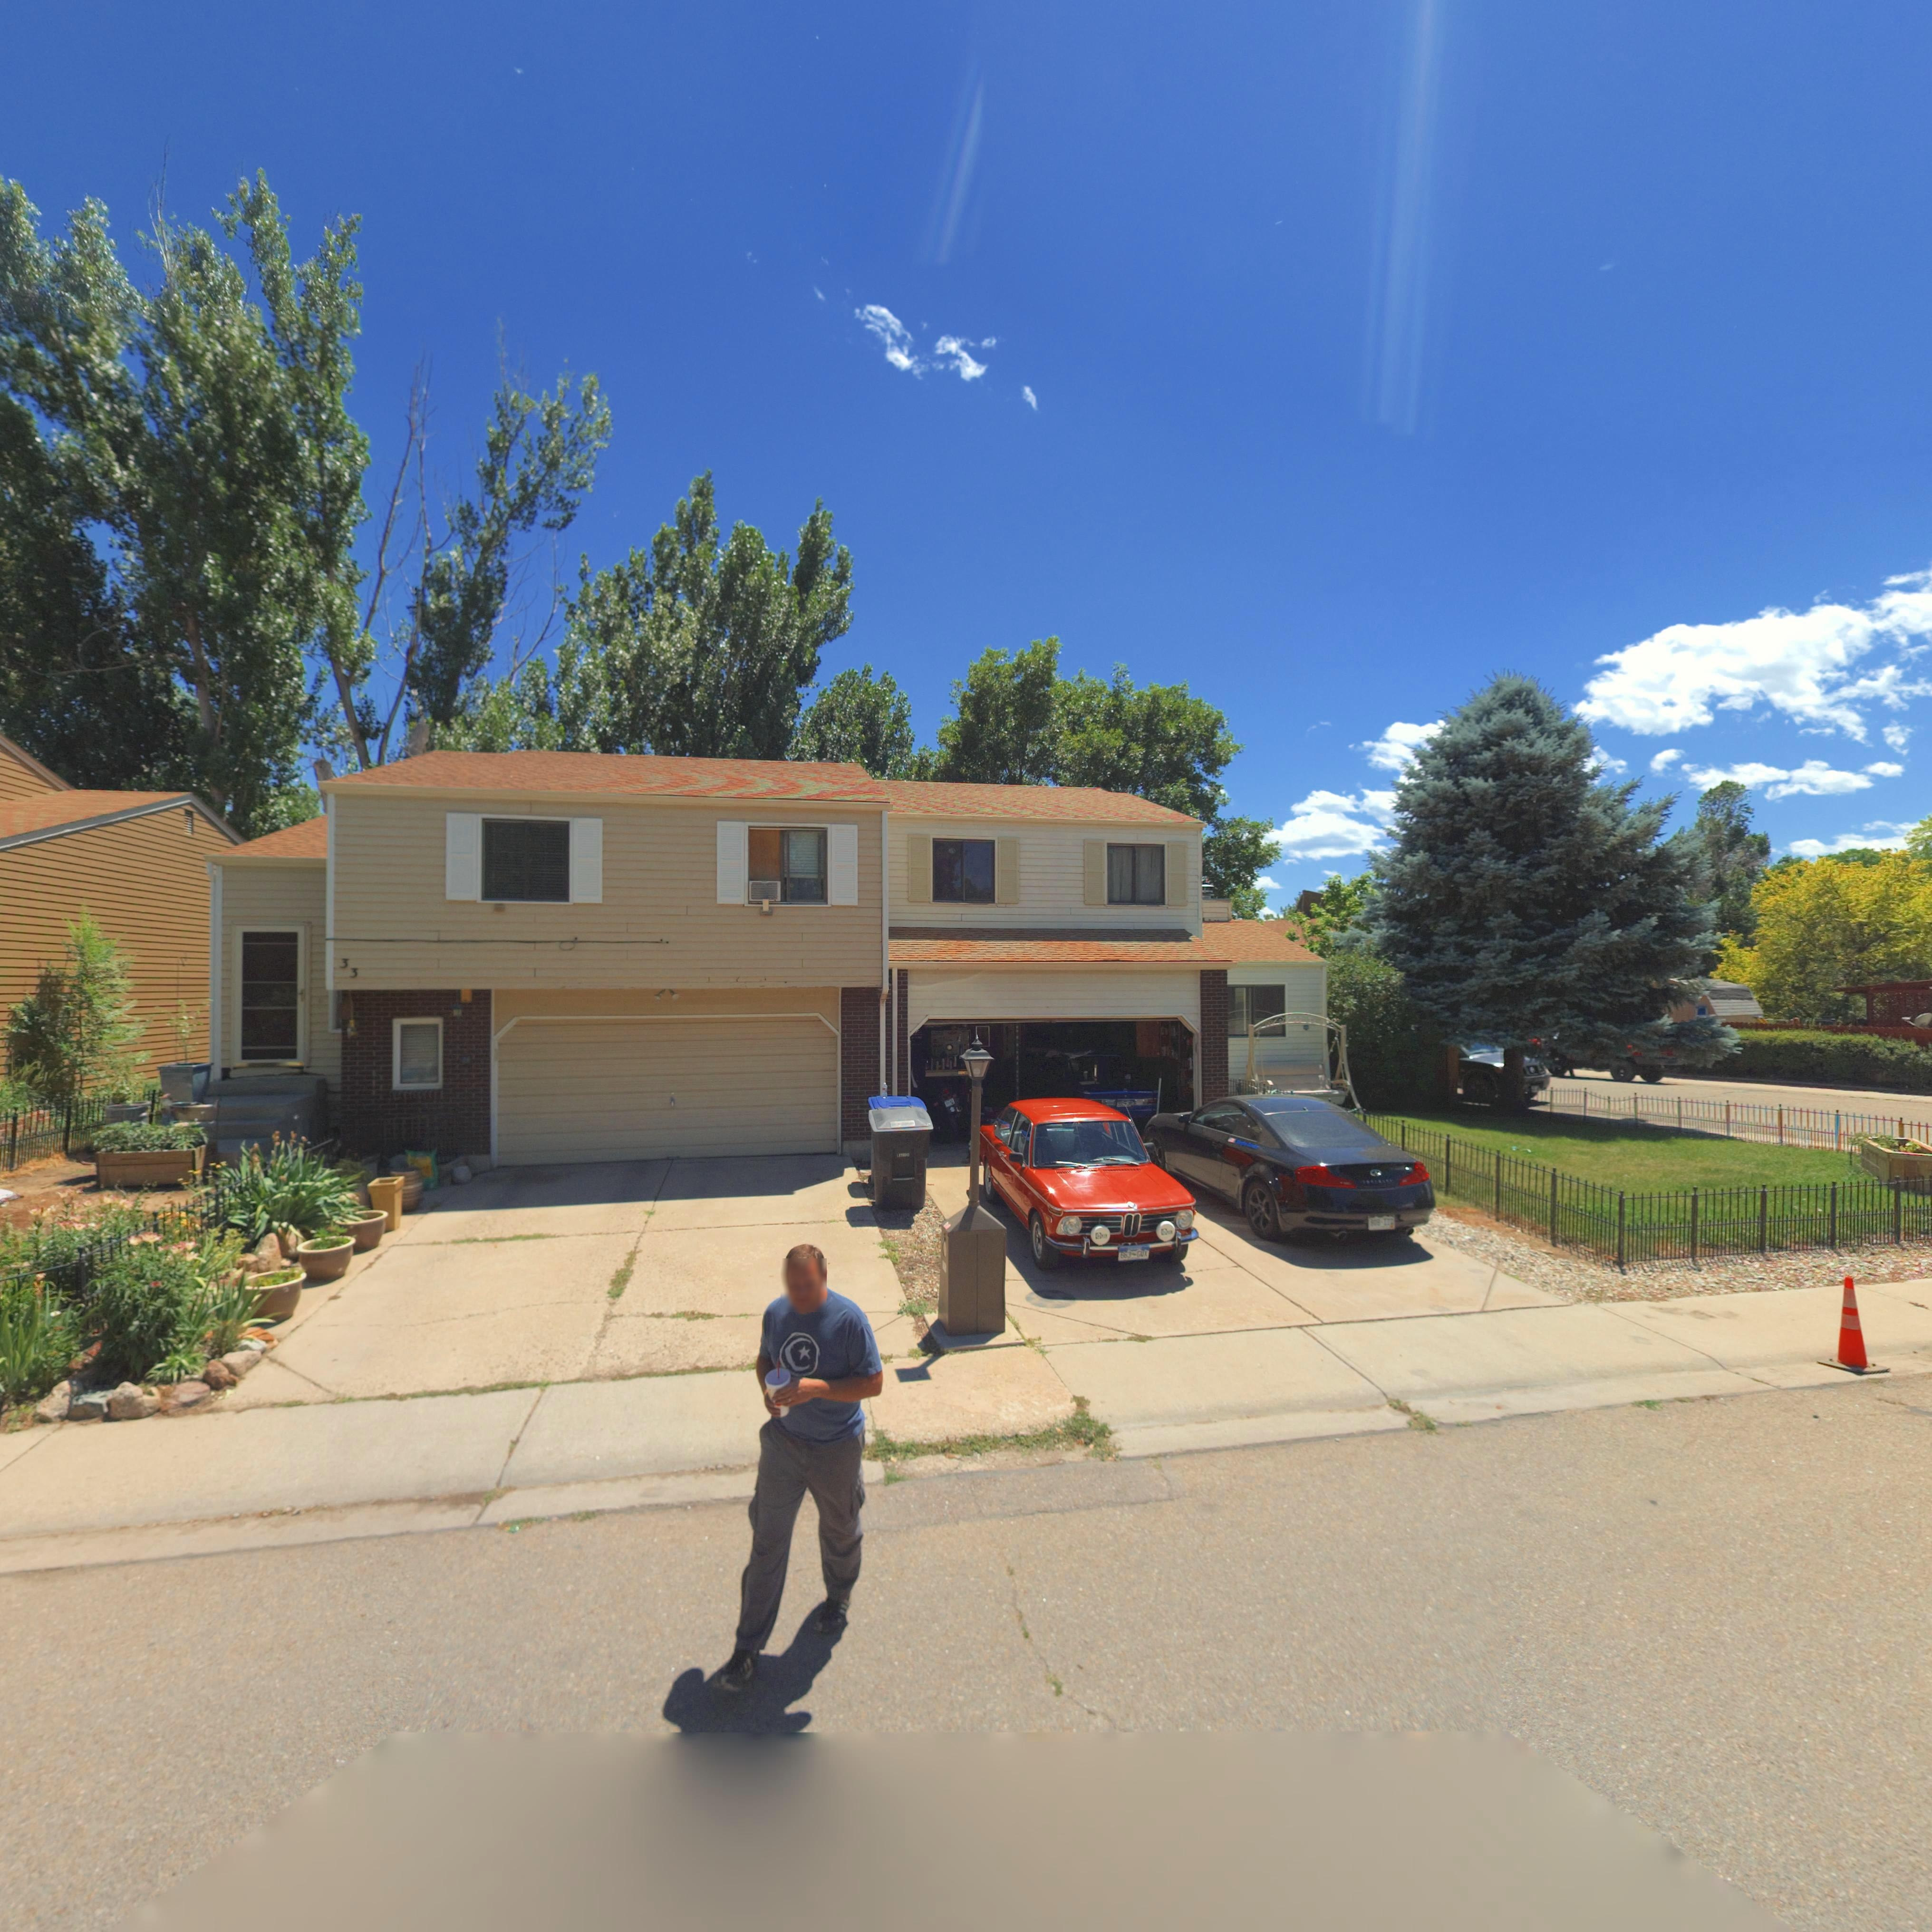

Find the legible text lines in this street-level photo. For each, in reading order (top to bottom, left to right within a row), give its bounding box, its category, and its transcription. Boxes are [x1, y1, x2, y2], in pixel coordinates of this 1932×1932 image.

[338, 957, 358, 978] StreetNumber: 33